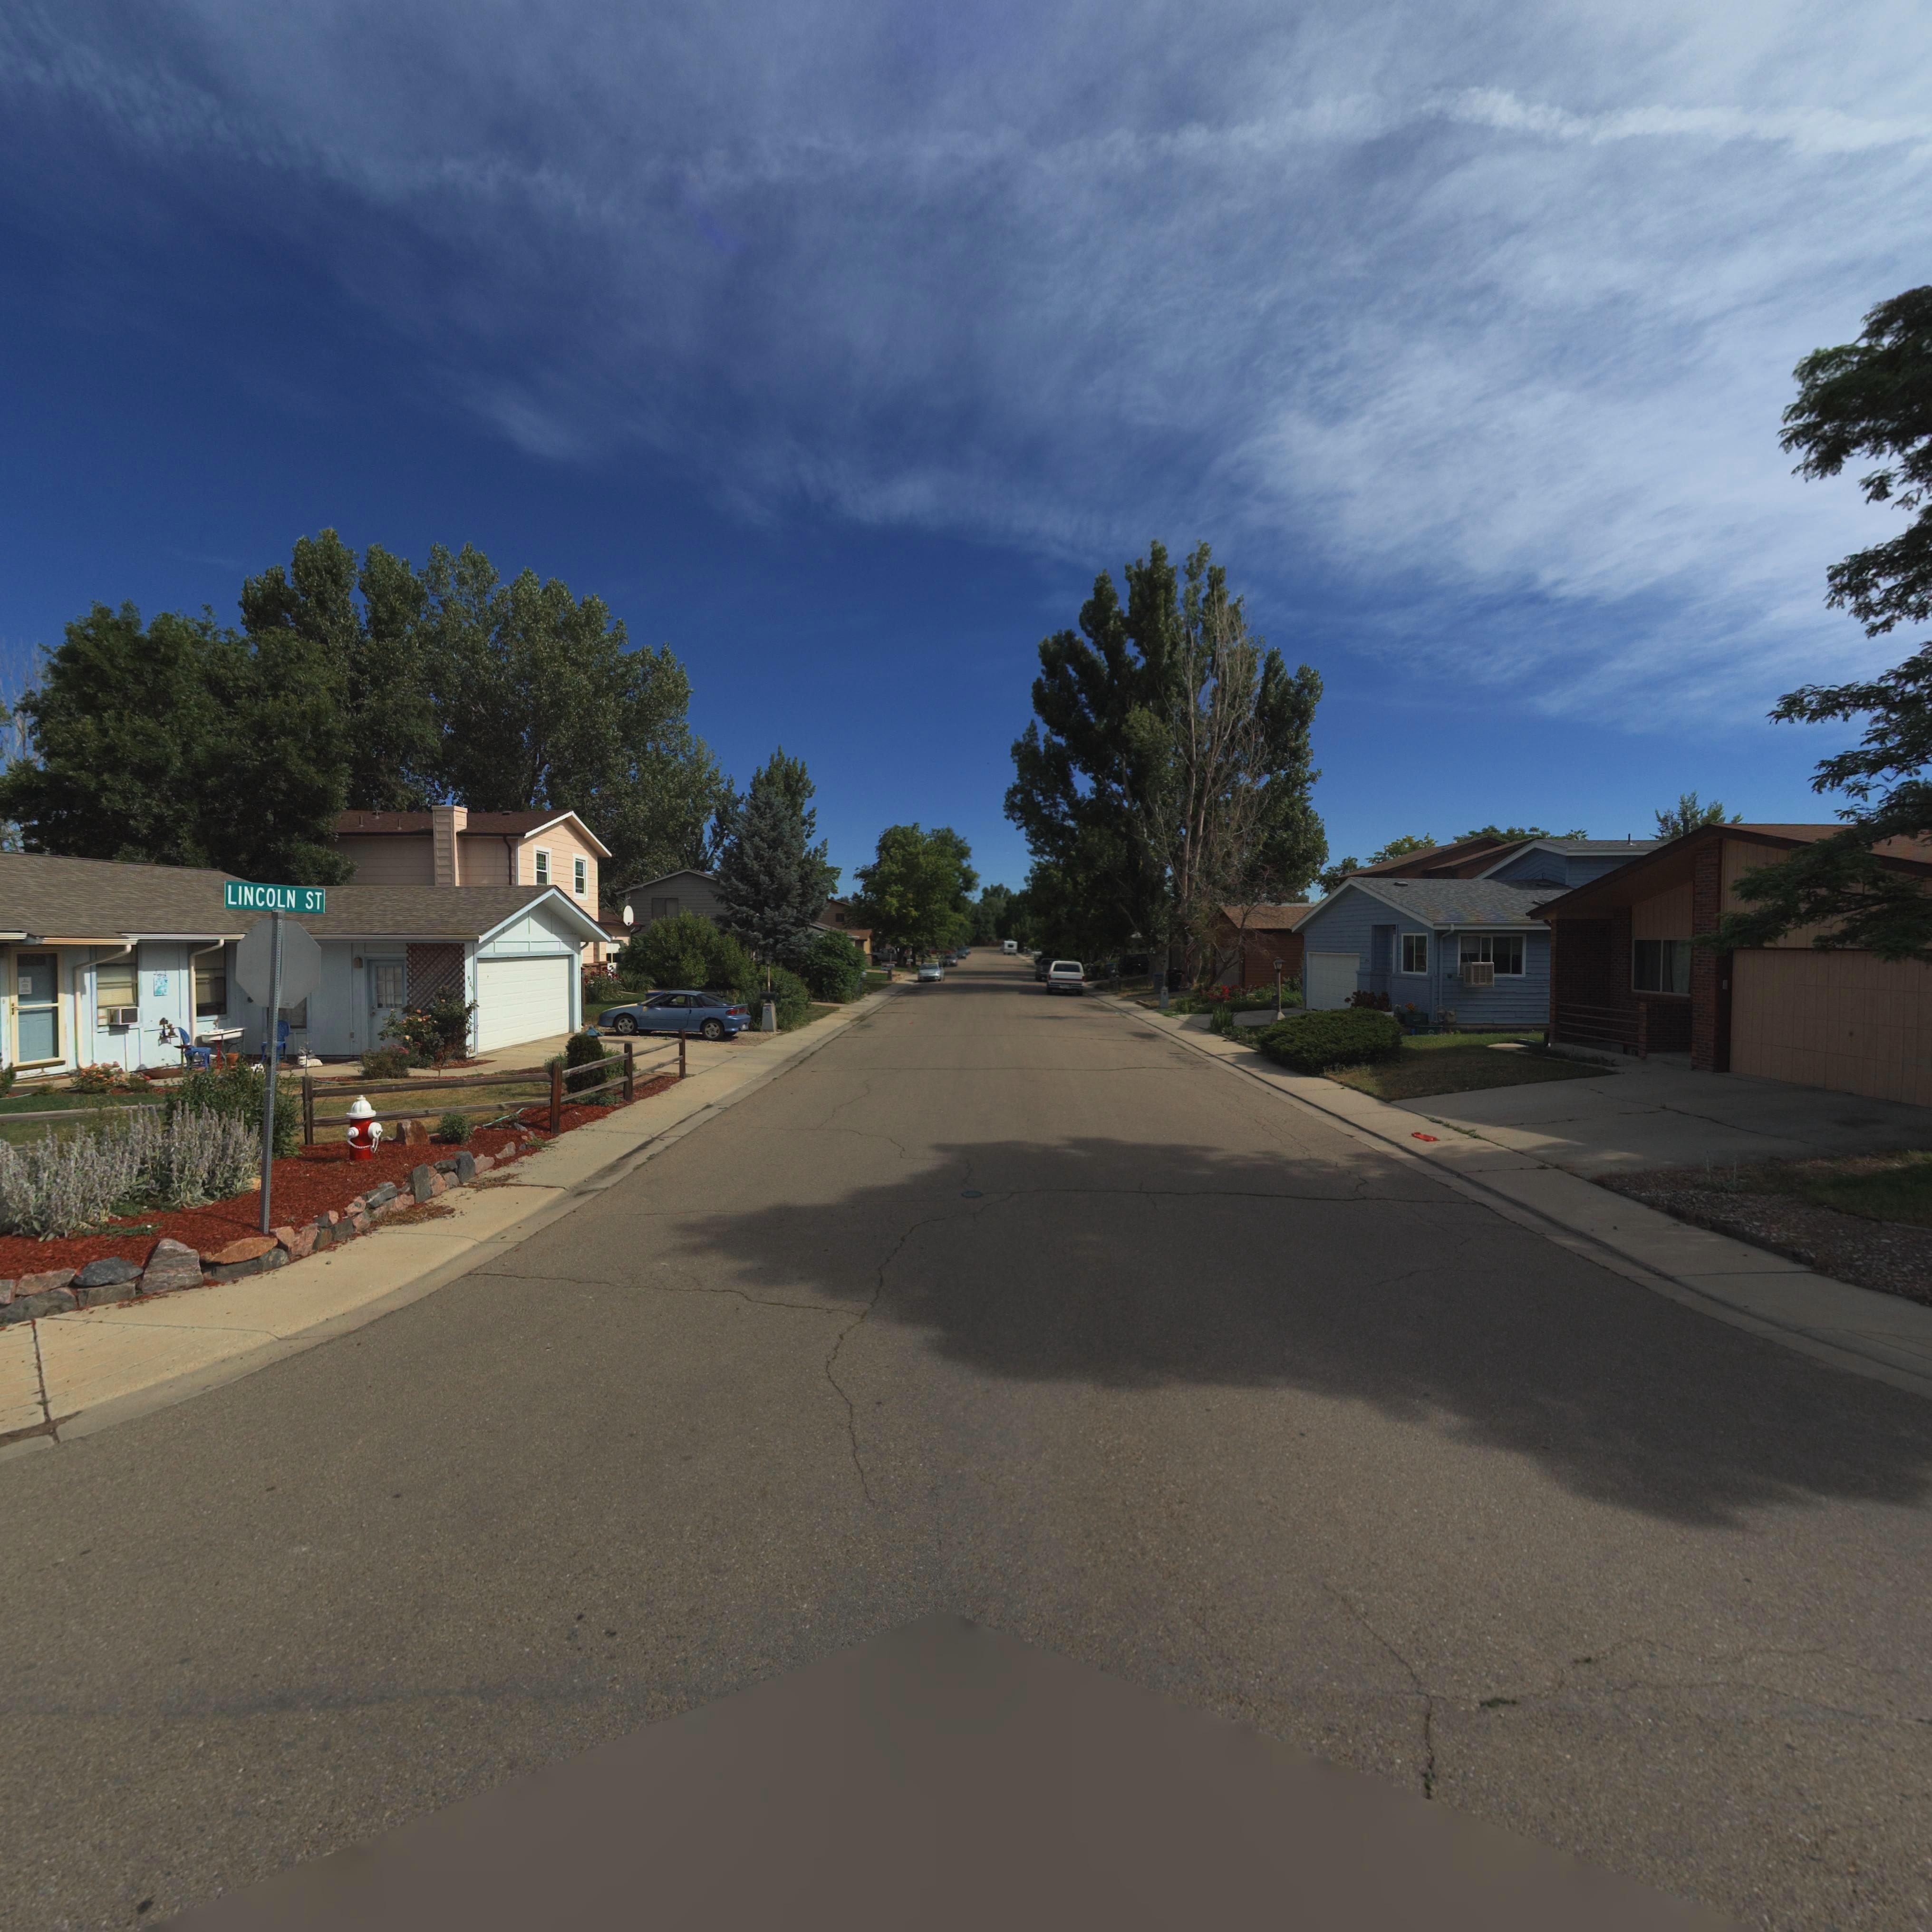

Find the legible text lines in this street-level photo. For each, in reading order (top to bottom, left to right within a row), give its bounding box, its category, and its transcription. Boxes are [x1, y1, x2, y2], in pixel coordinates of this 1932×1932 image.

[227, 883, 322, 910] StreetName: LINCOLN ST